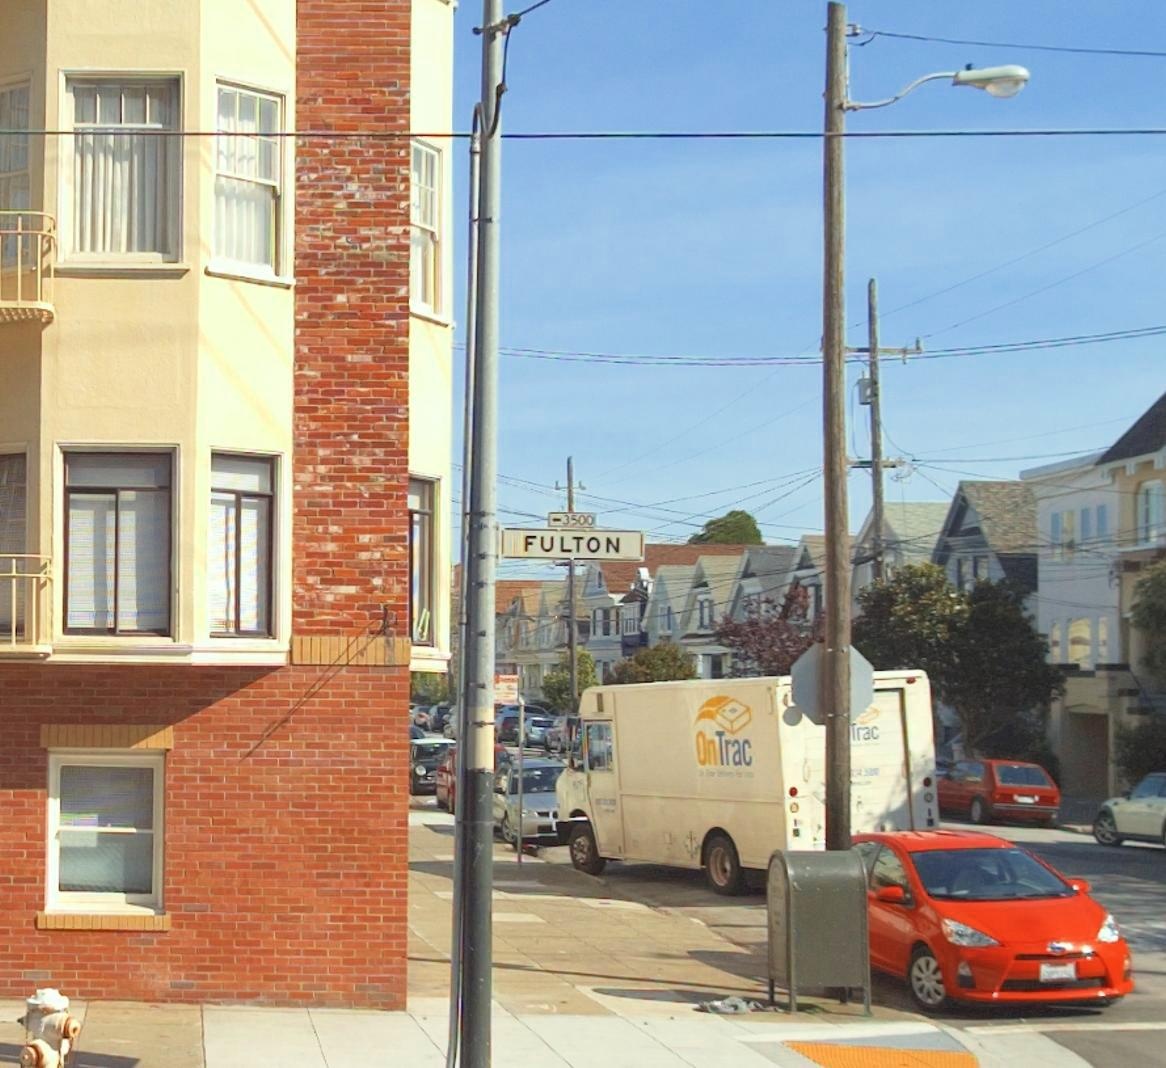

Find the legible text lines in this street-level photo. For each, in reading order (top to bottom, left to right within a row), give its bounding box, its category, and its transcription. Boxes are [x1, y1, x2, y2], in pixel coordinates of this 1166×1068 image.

[550, 512, 593, 528] StreetNumberRange: <-3500
[523, 531, 622, 556] StreetName: FULTON < [3500]
[847, 721, 879, 741] None: Trac
[694, 730, 753, 766] None: OnTrac